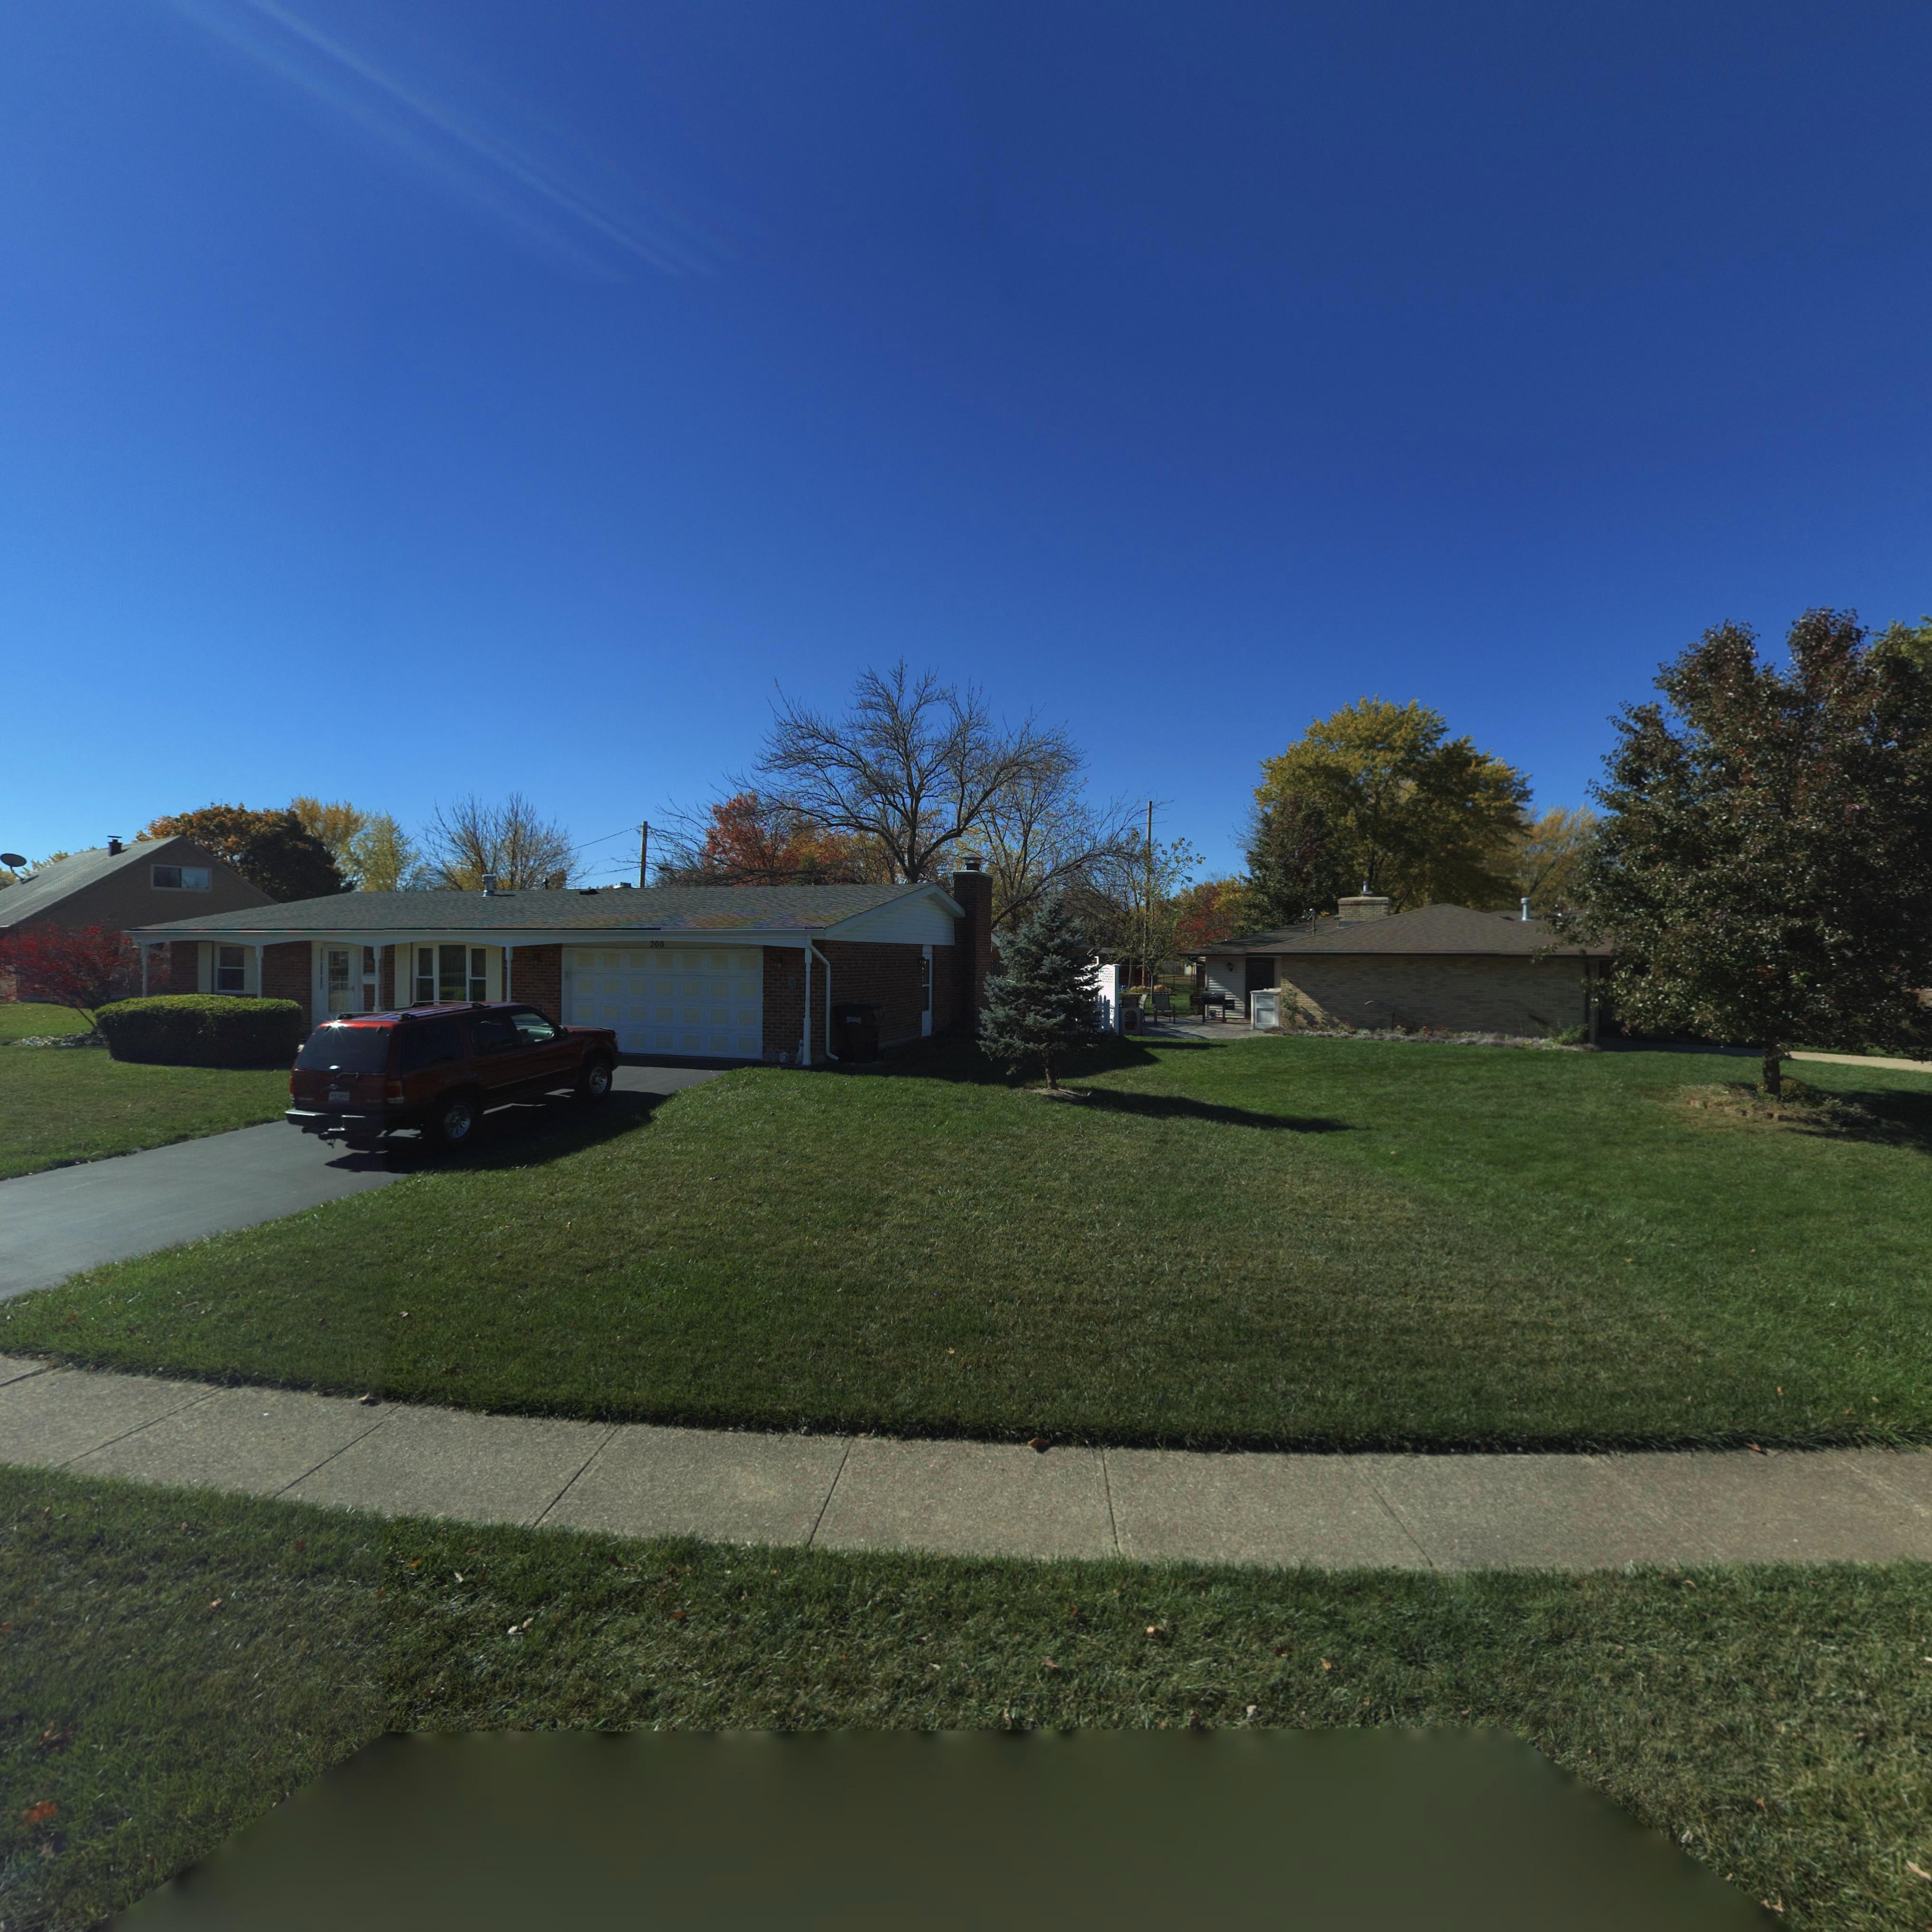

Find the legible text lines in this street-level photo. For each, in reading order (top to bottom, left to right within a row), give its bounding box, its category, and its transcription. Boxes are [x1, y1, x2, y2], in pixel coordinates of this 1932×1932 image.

[649, 940, 665, 948] StreetNumber: 200